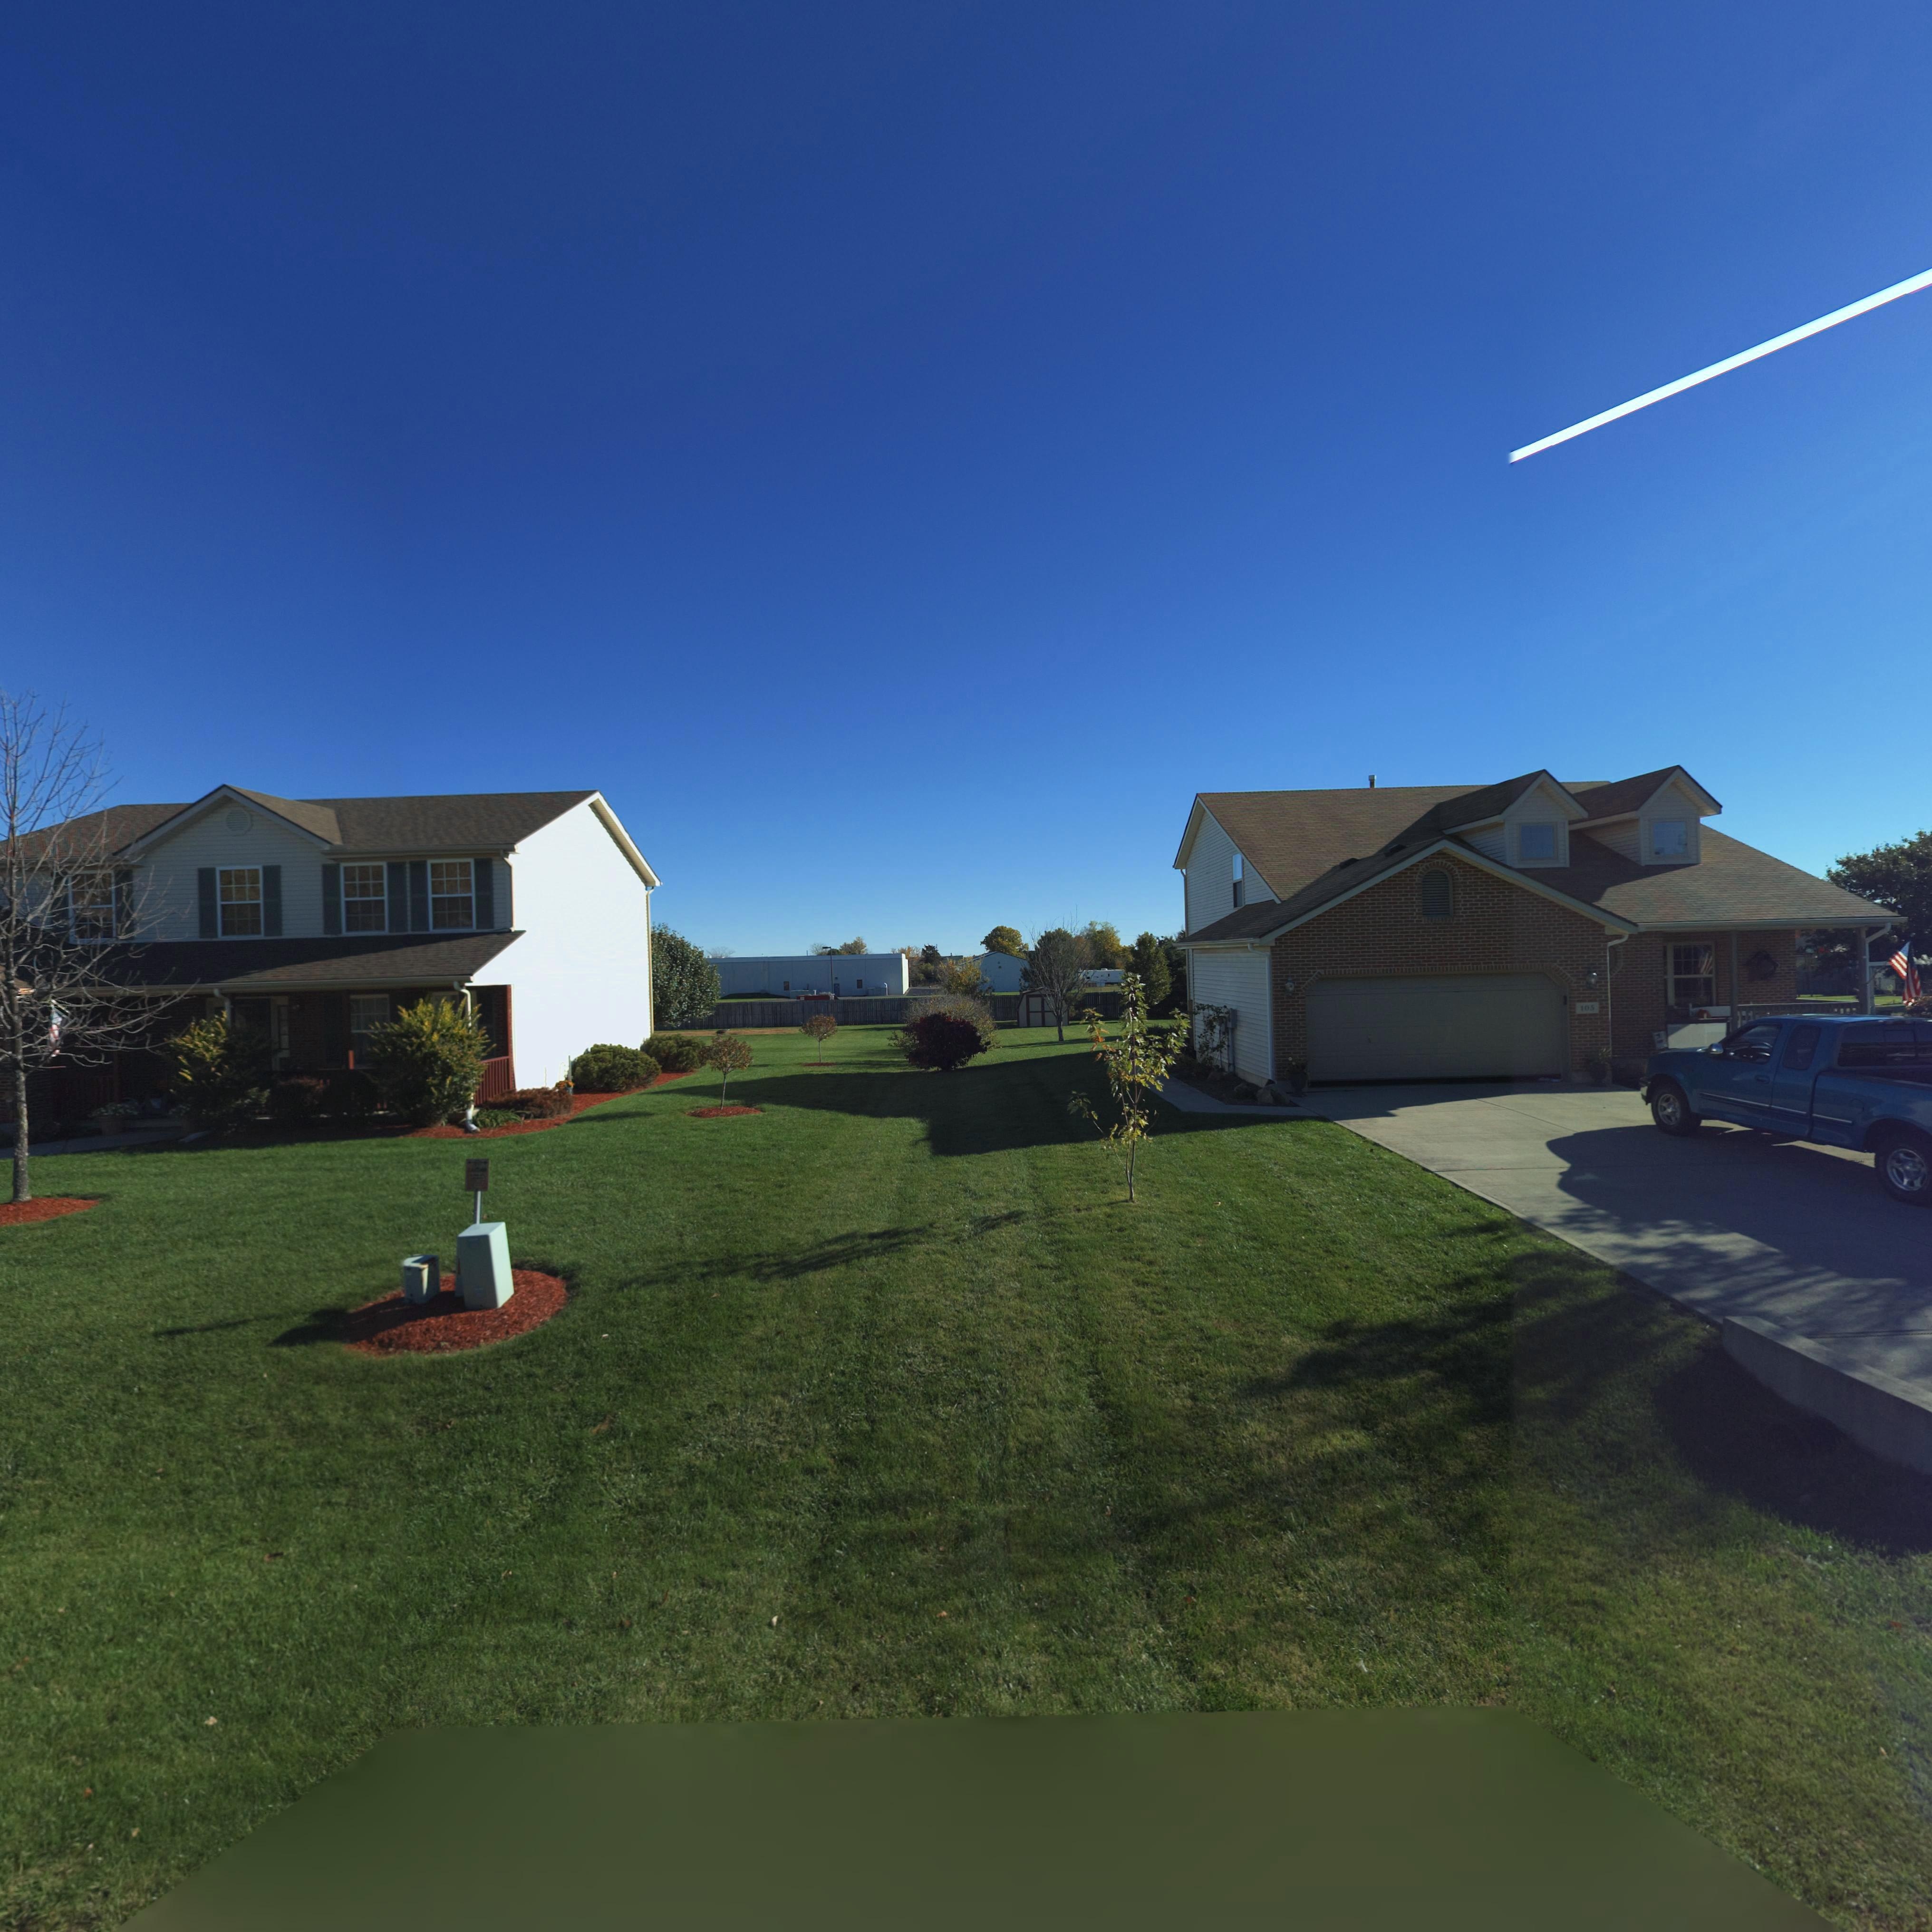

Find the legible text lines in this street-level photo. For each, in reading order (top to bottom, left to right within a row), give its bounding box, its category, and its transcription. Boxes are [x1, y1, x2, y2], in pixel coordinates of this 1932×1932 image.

[1579, 1004, 1596, 1011] StreetNumber: 105